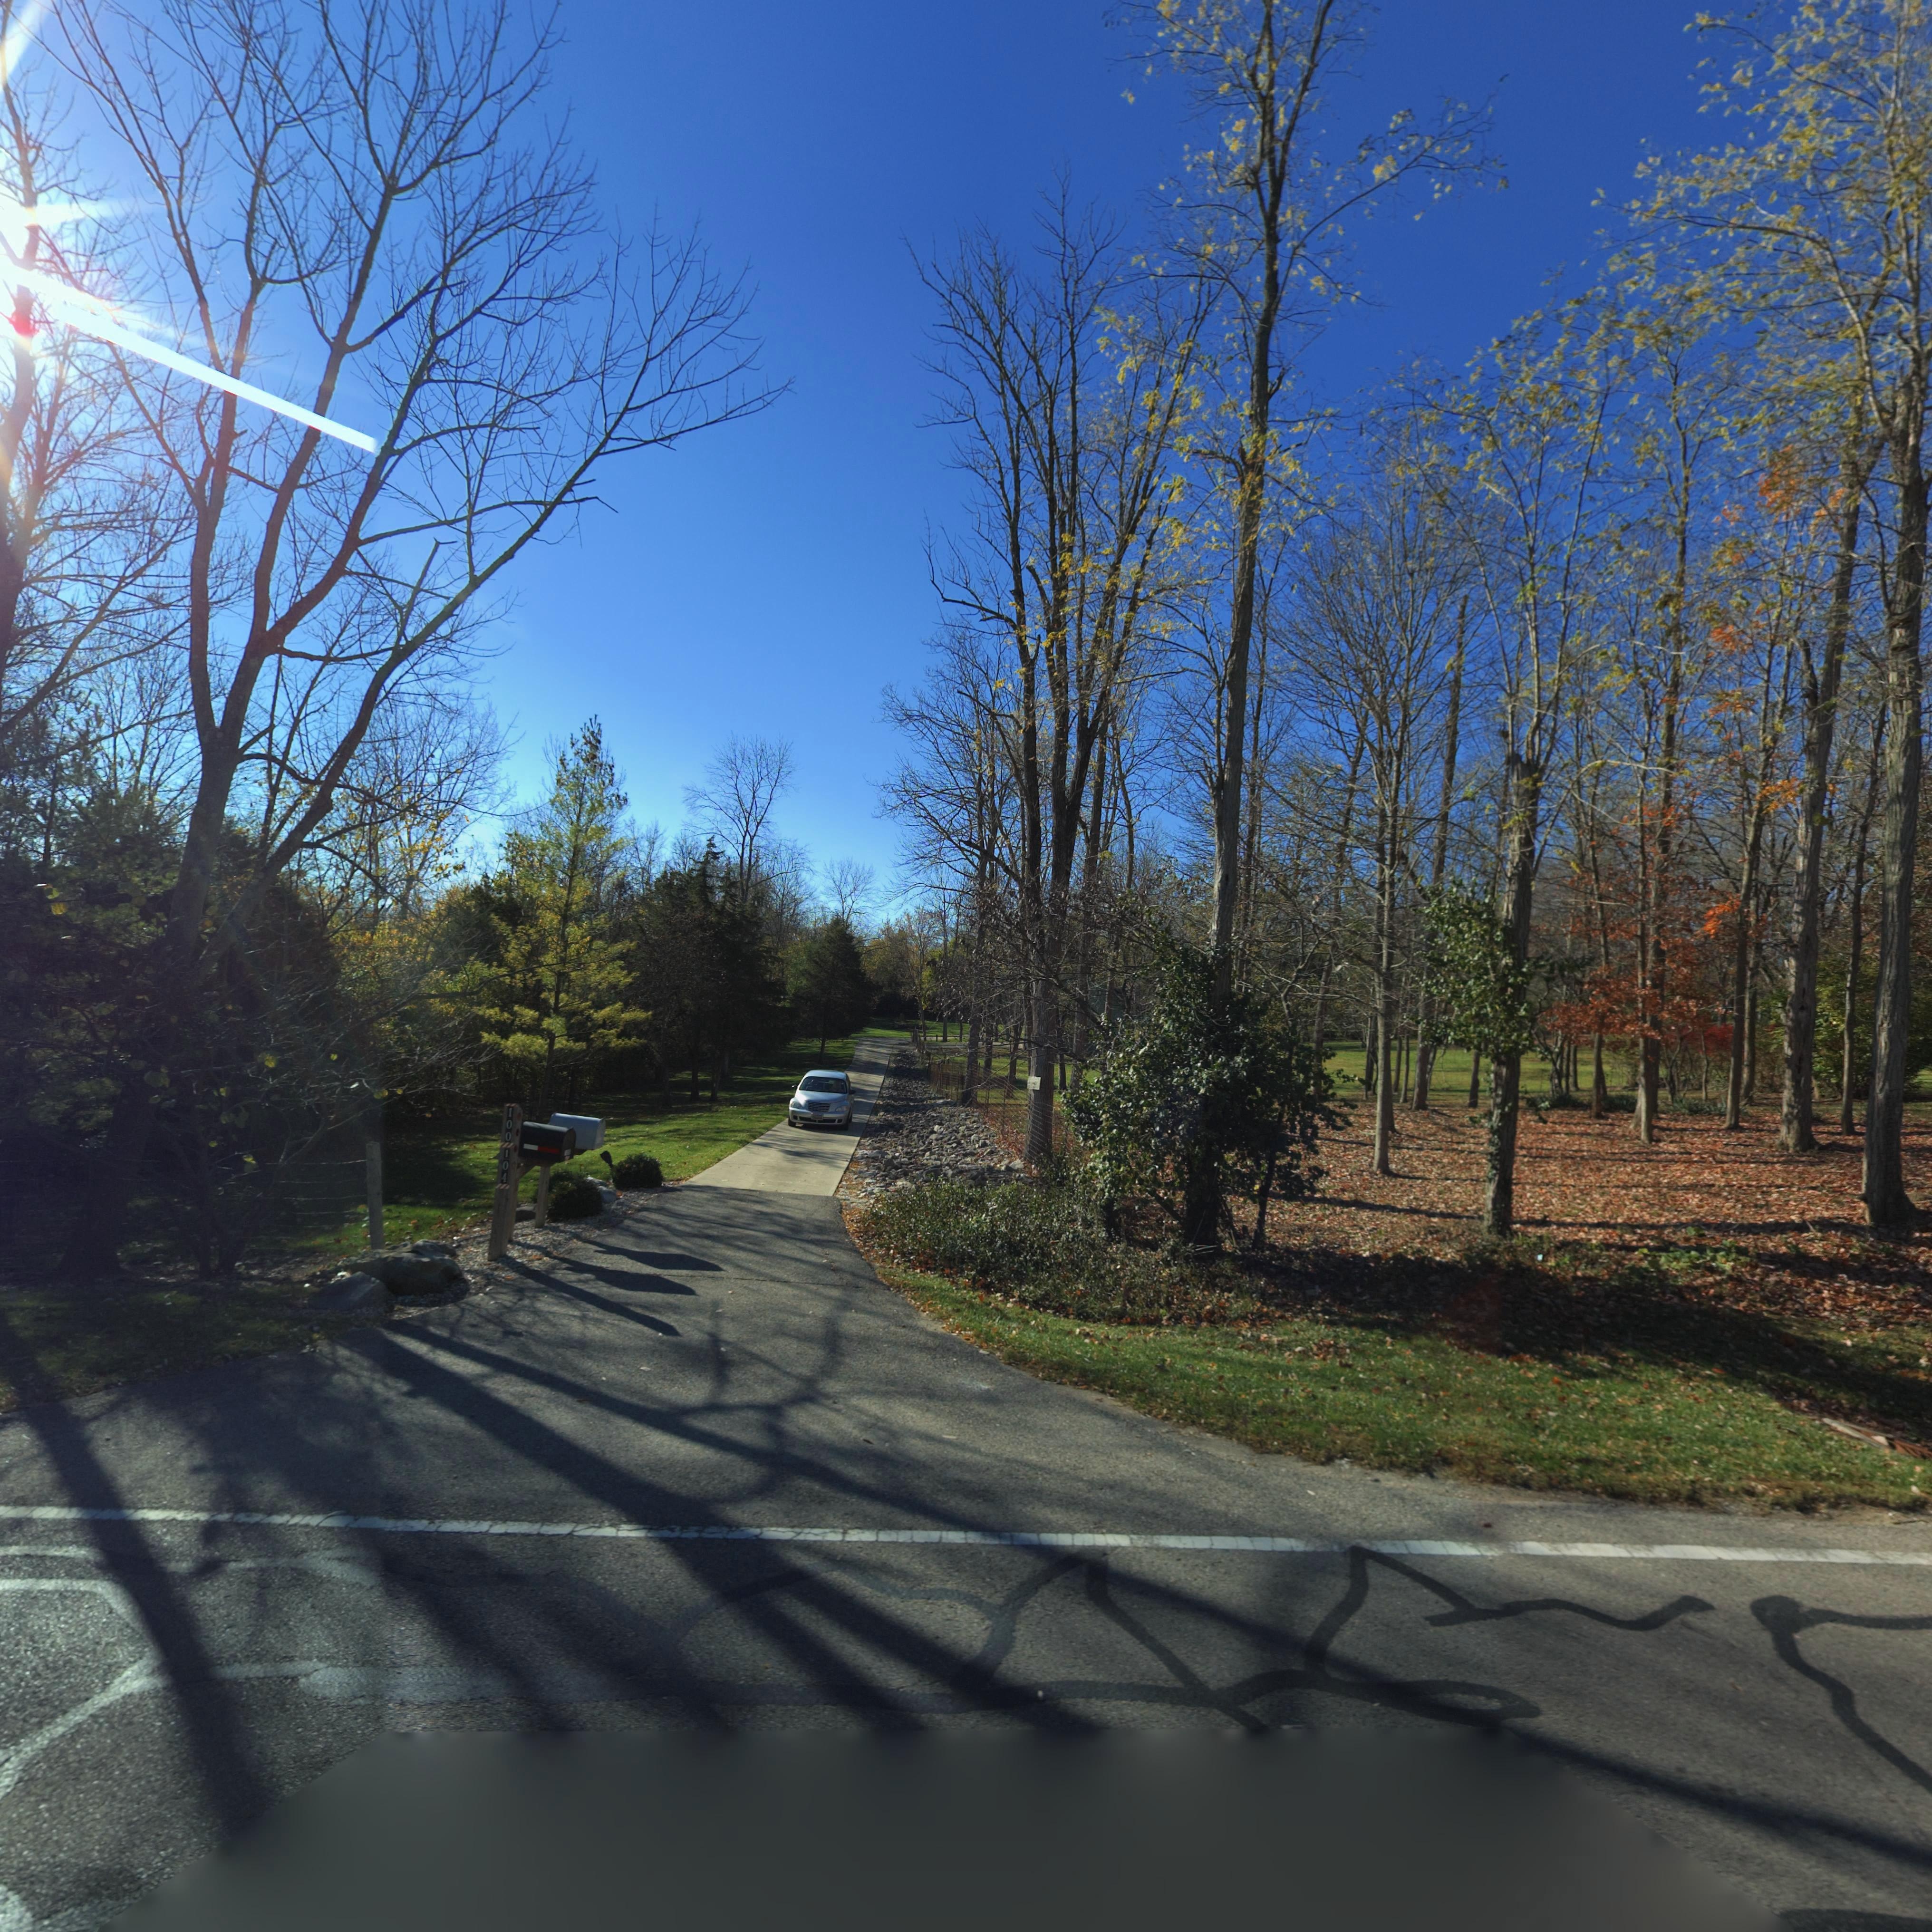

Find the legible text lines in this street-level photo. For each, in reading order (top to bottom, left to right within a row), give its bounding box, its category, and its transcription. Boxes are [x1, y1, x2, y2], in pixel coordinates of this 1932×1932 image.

[504, 1107, 514, 1142] StreetNumber: 100
[500, 1149, 510, 1183] StreetNumber: 104